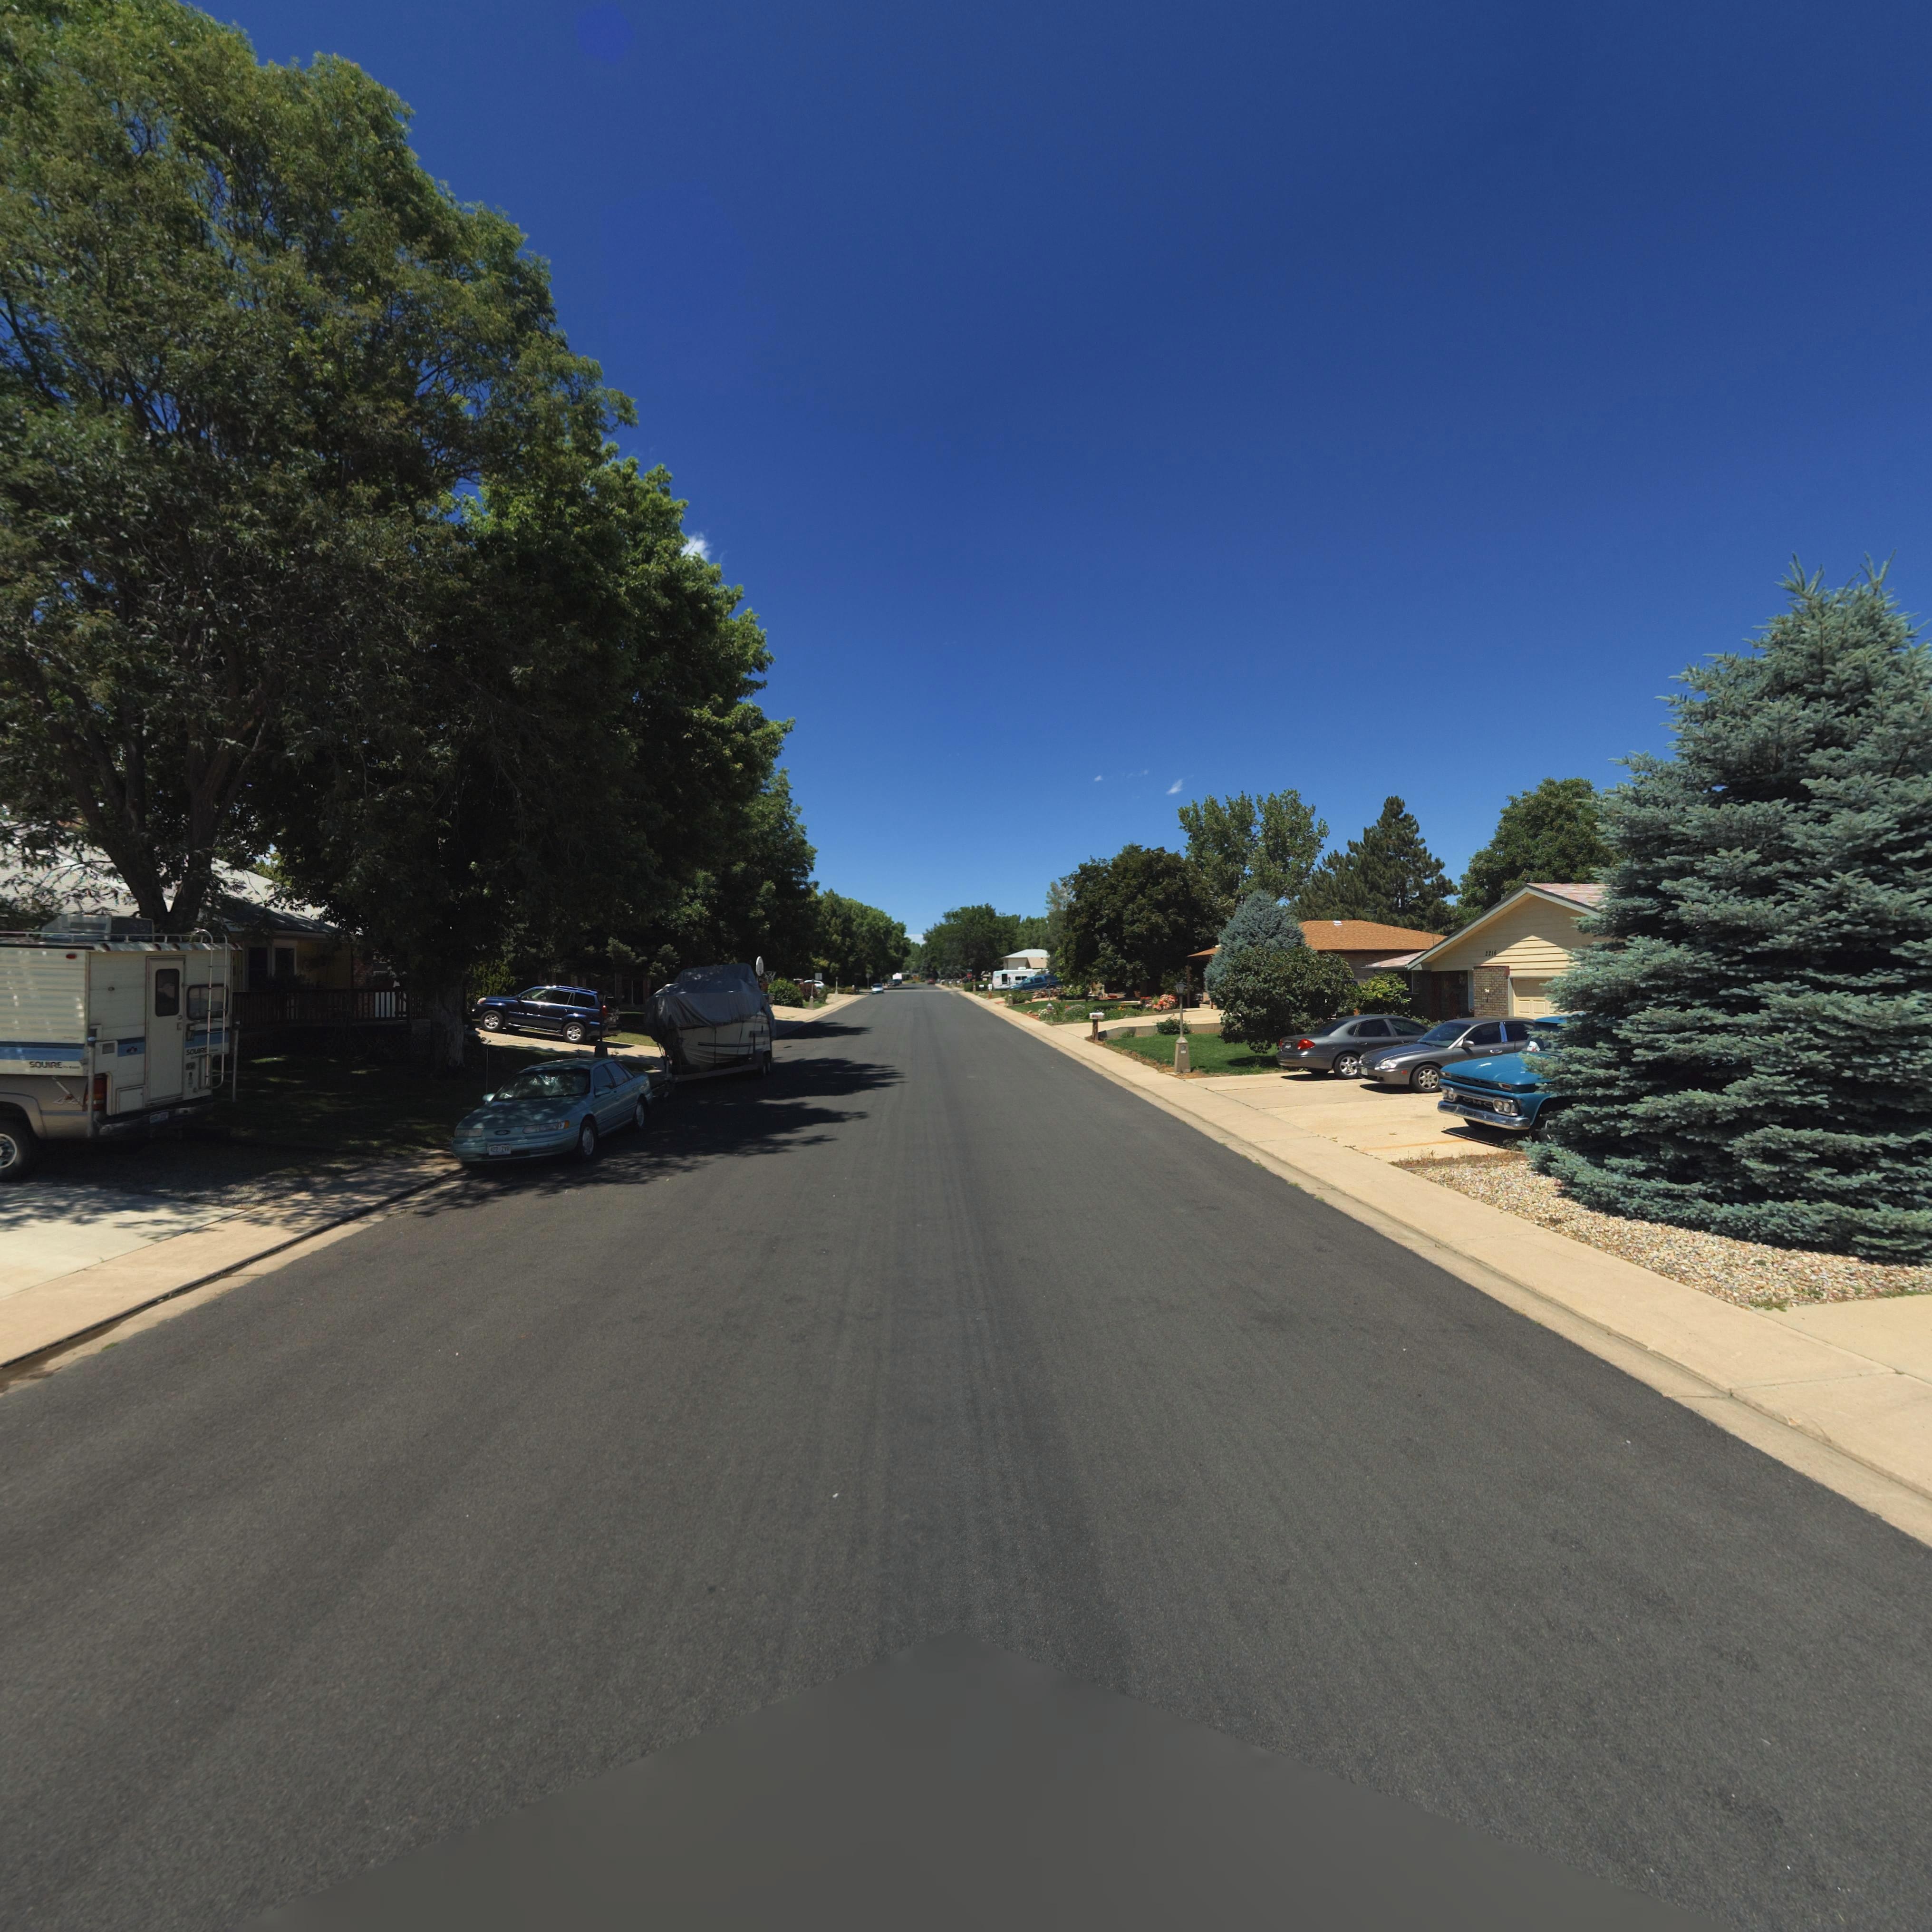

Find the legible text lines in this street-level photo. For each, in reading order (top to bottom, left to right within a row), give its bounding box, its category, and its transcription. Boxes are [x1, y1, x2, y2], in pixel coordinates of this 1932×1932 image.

[1485, 950, 1497, 956] StreetNumber: 2216